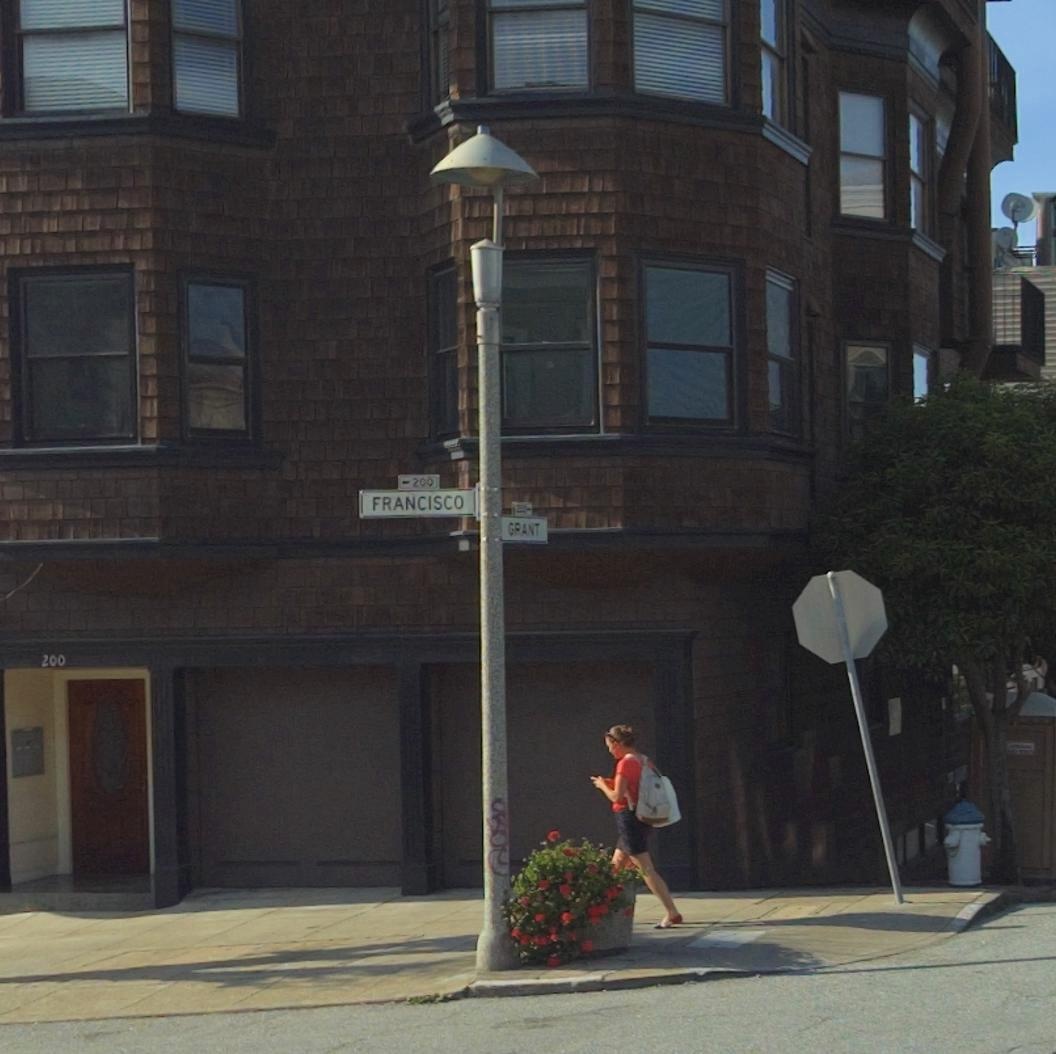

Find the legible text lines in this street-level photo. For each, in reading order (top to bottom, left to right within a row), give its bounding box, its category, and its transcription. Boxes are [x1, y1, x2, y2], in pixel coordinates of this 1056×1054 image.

[399, 475, 437, 490] StreetNumberRange: <-200
[367, 491, 468, 513] StreetName: FRANCISCO
[506, 520, 542, 539] StreetName: GRANT
[38, 651, 69, 670] StreetNumber: 200